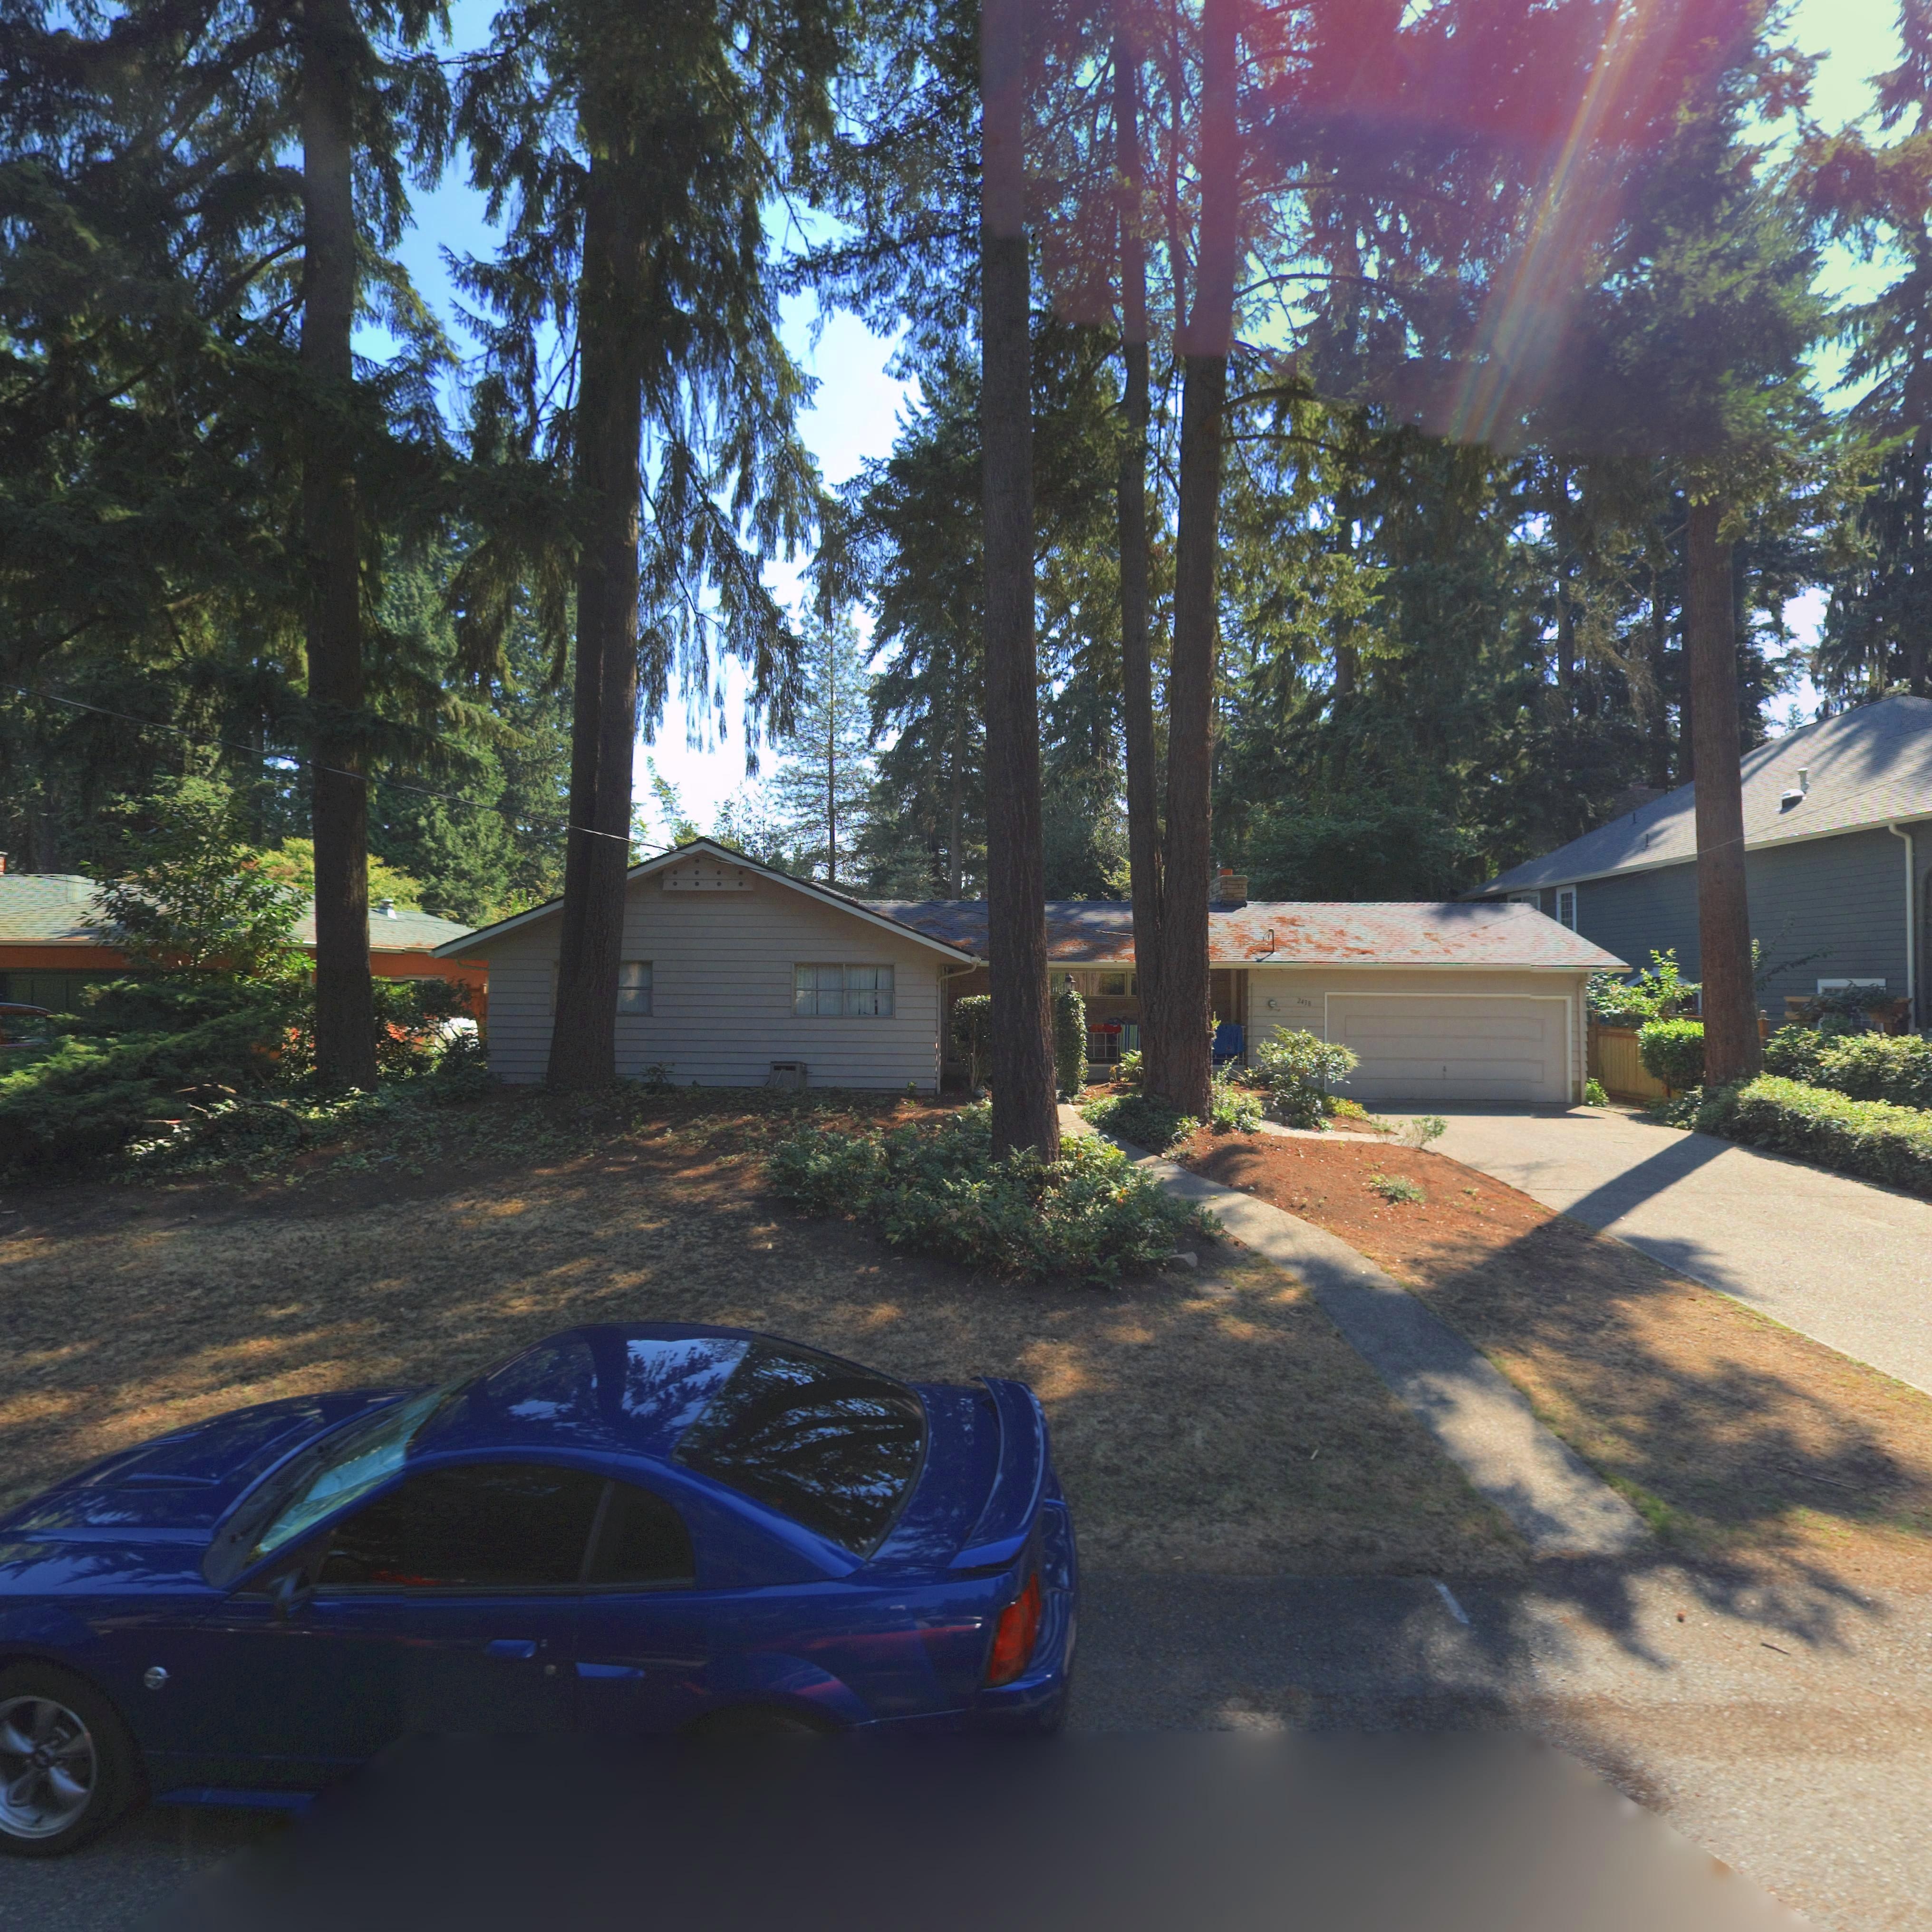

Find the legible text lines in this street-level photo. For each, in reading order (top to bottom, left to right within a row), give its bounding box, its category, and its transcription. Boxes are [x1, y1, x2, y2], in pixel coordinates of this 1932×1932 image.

[1296, 997, 1312, 1007] StreetNumber: 2435